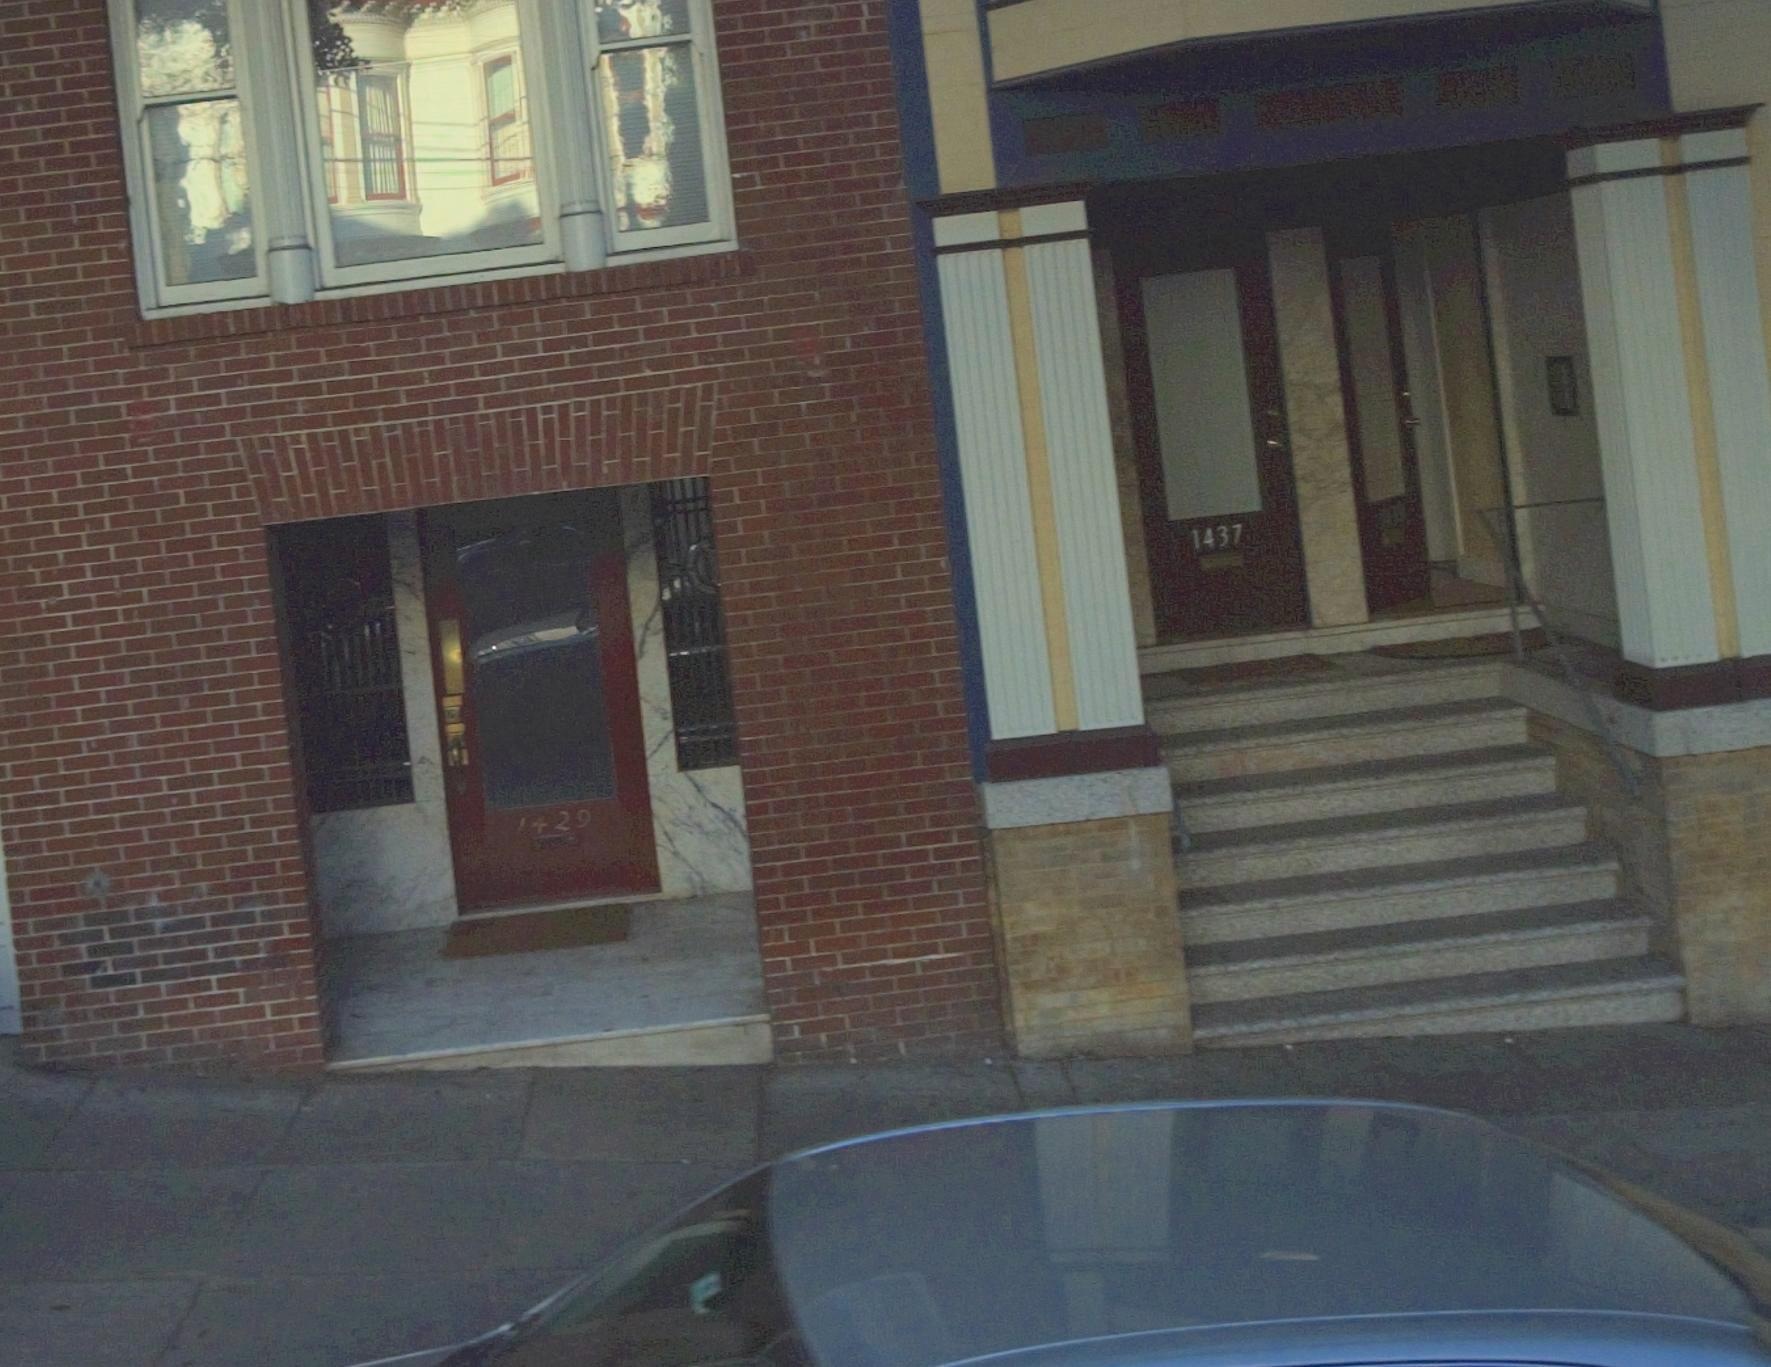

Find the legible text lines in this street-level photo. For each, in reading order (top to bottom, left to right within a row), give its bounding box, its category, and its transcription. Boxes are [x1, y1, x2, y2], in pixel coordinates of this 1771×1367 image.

[1186, 522, 1245, 553] StreetNumber: 1437
[510, 806, 596, 840] StreetNumber: 1429